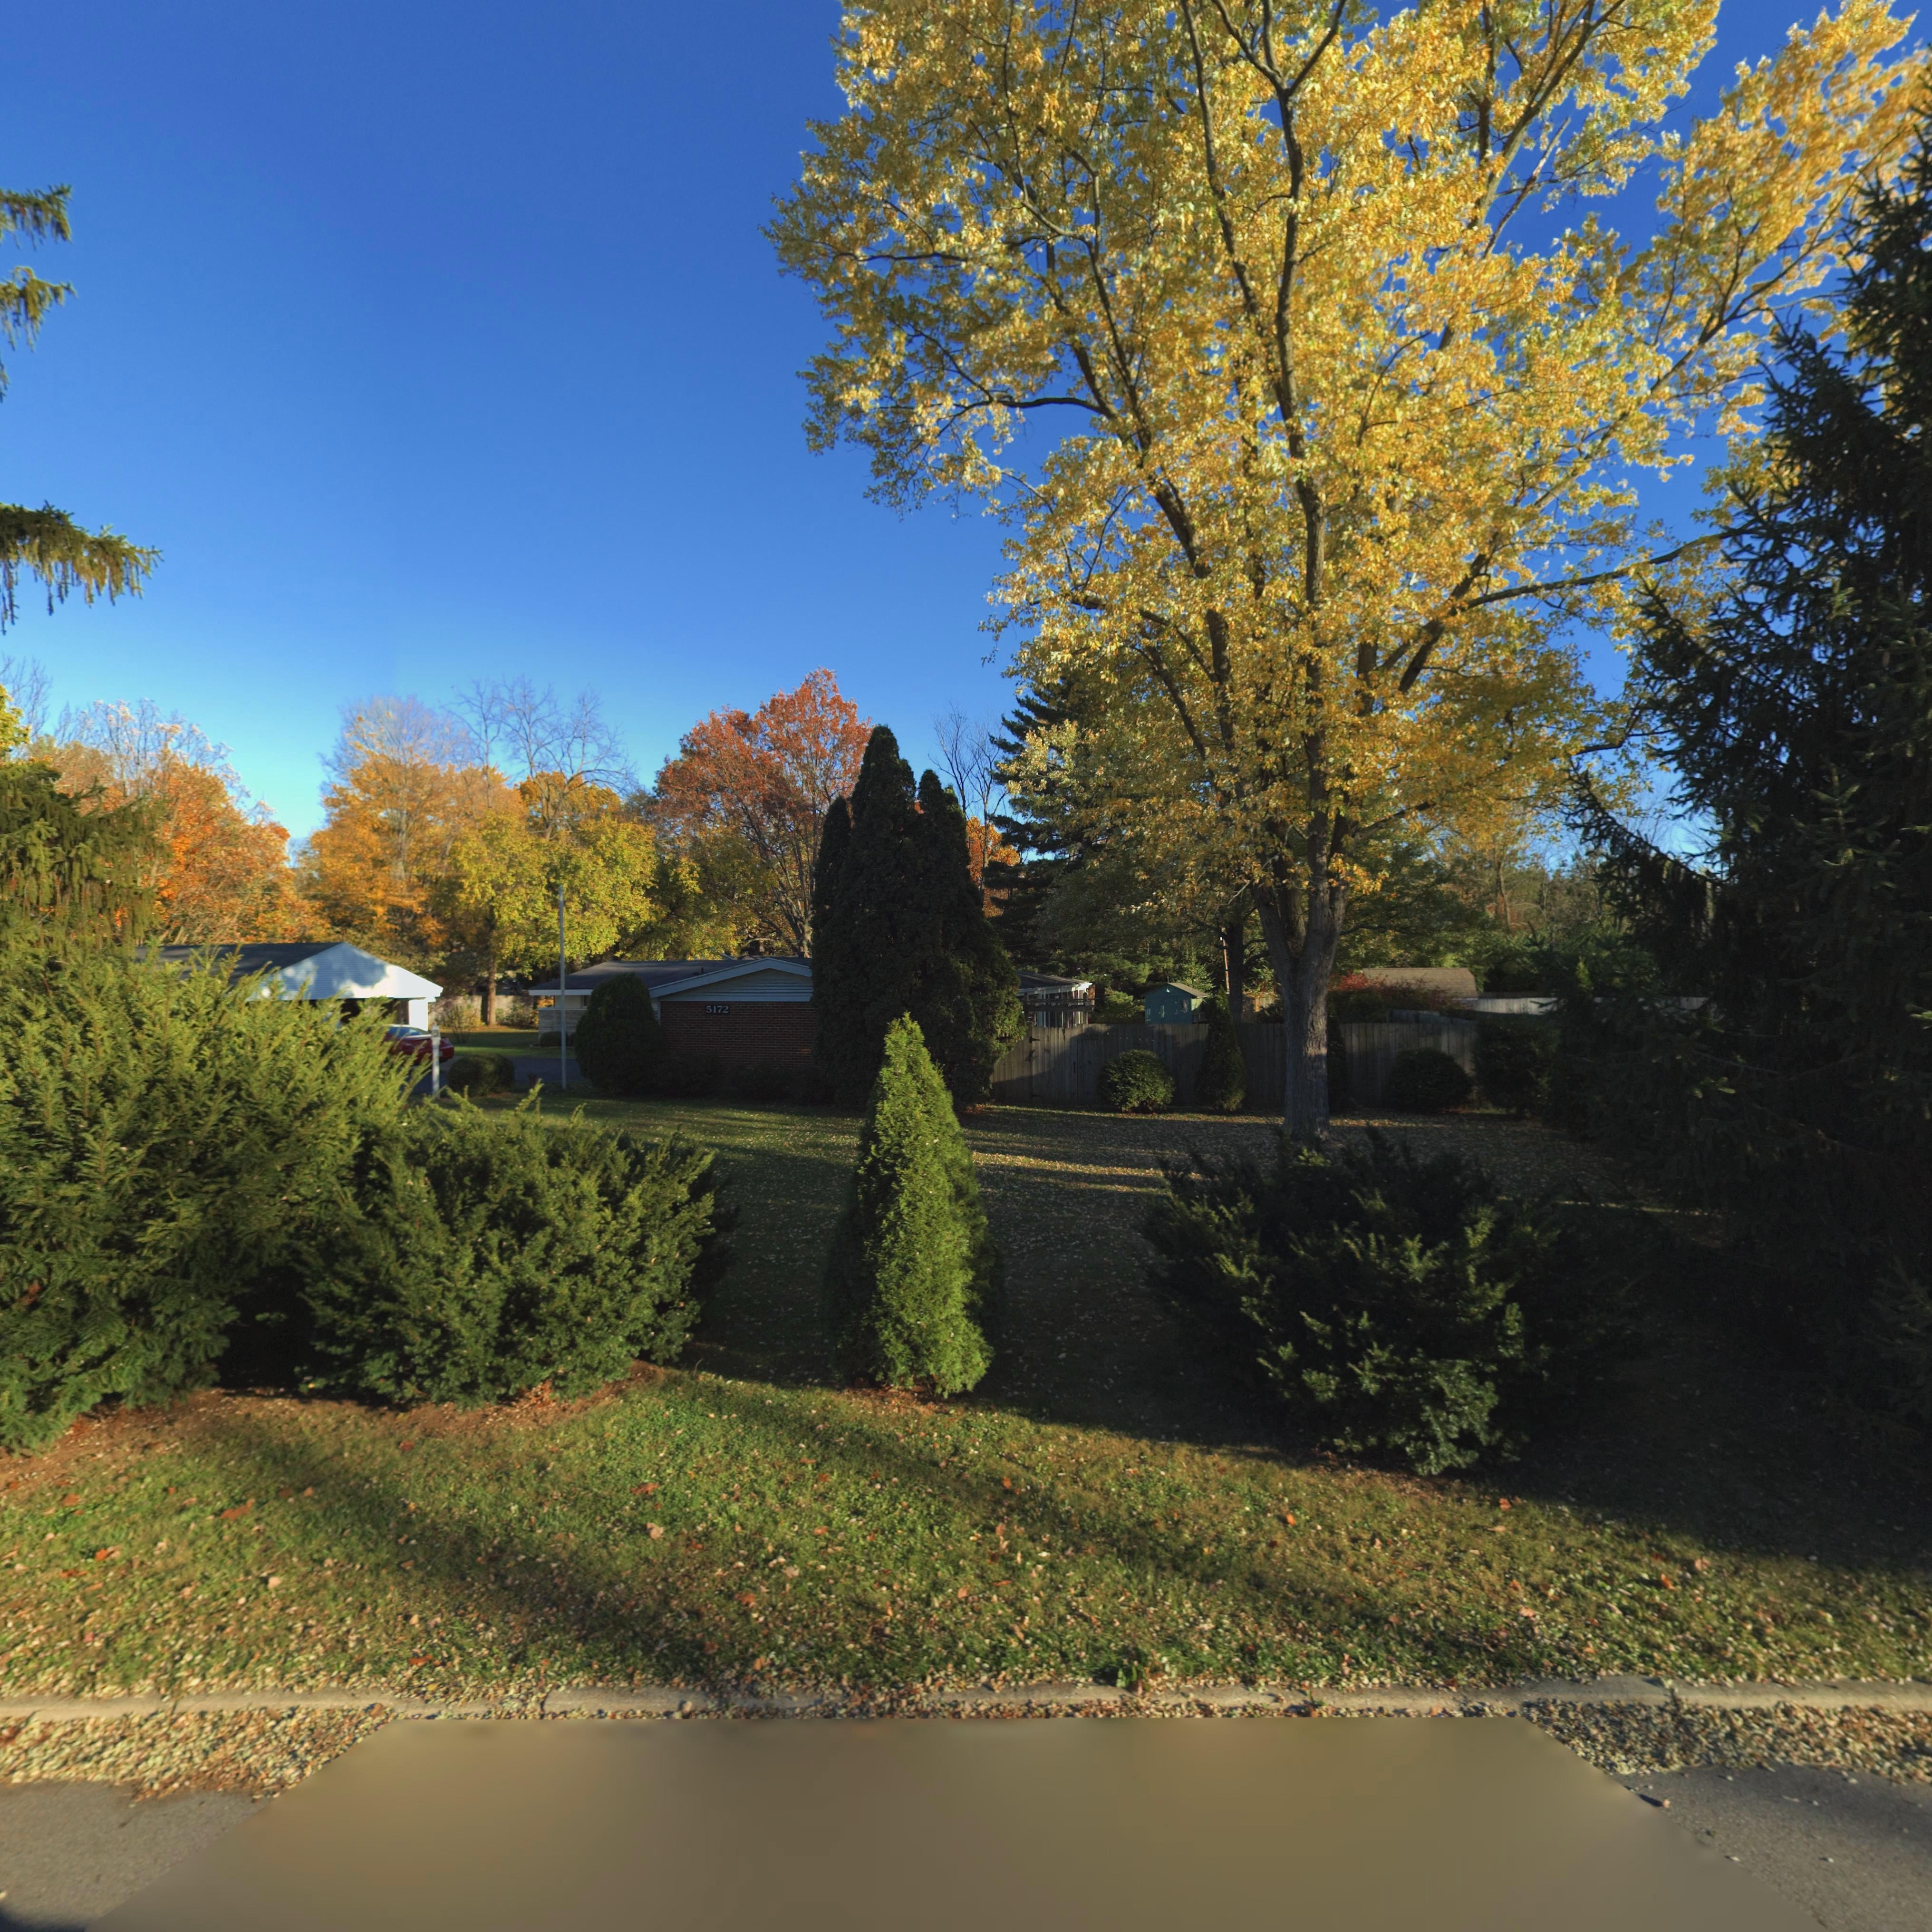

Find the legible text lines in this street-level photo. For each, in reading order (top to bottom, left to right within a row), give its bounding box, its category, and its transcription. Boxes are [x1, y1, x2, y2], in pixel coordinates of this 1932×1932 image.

[705, 1005, 730, 1014] StreetNumber: 5172